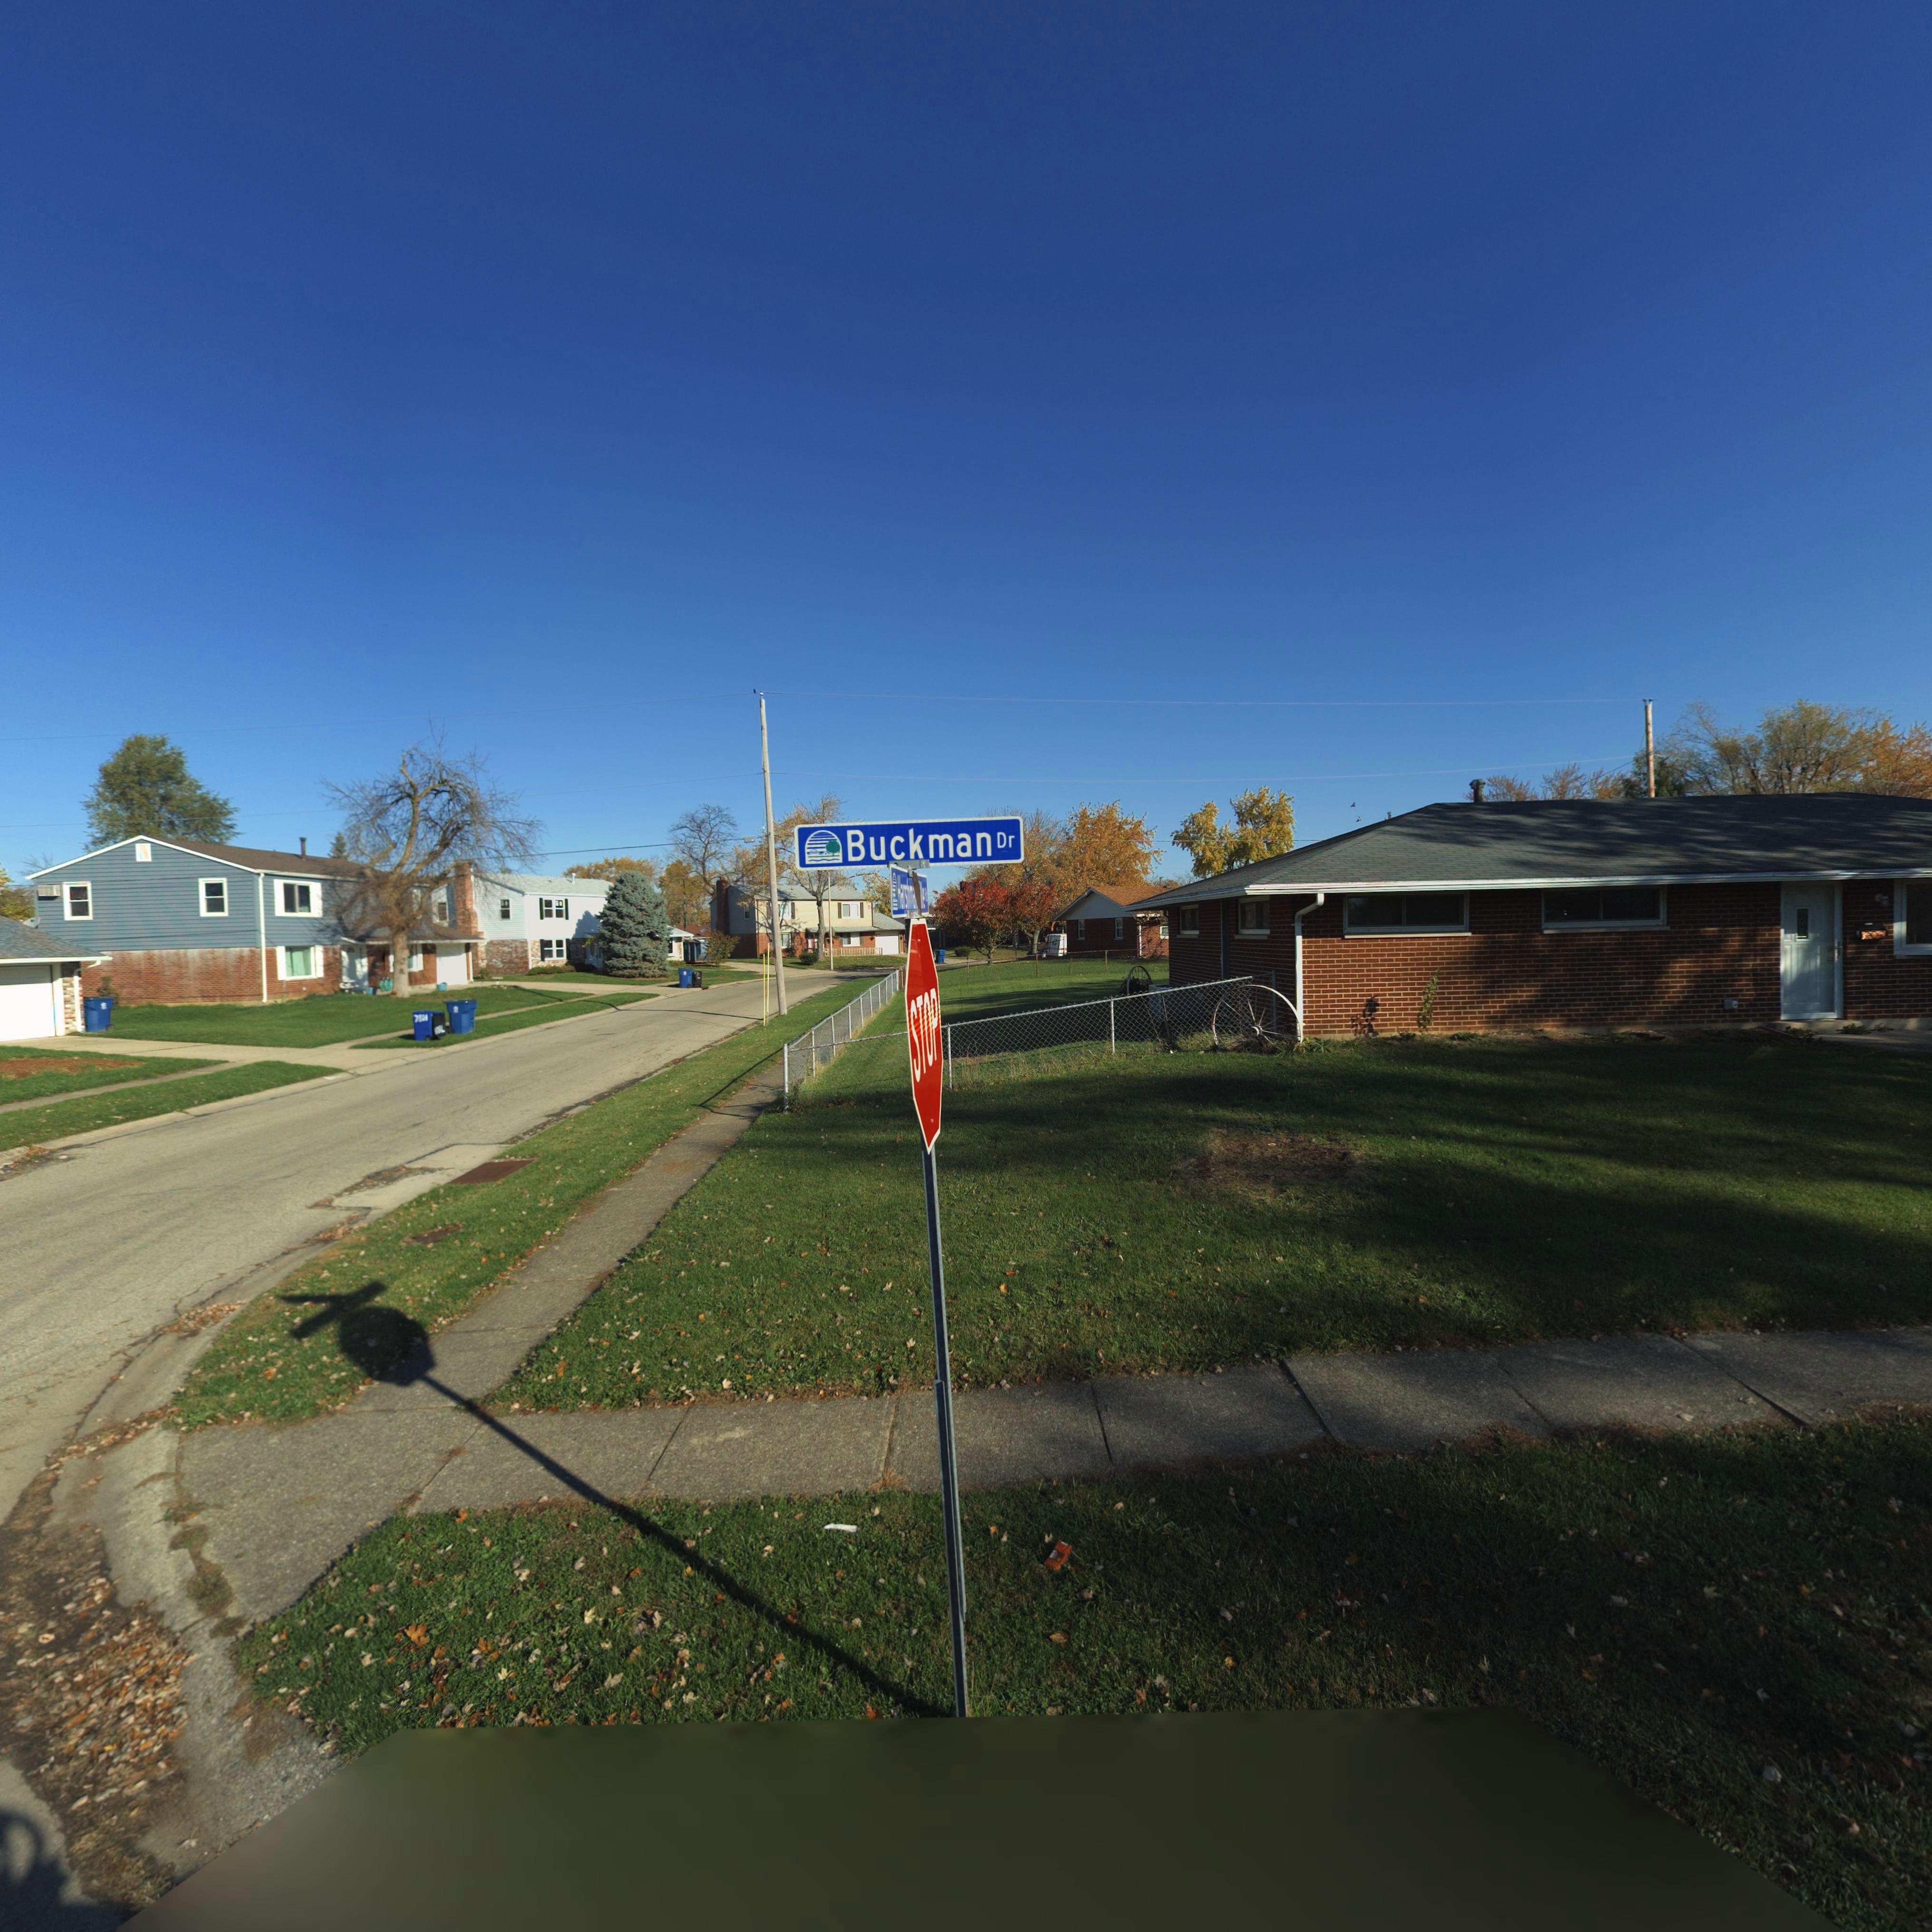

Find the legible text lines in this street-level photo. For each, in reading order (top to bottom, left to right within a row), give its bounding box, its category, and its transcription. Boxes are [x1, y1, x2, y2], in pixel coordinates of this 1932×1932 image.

[413, 1014, 428, 1024] StreetNumber: 7801
[434, 1024, 446, 1035] StreetNumber: 108*